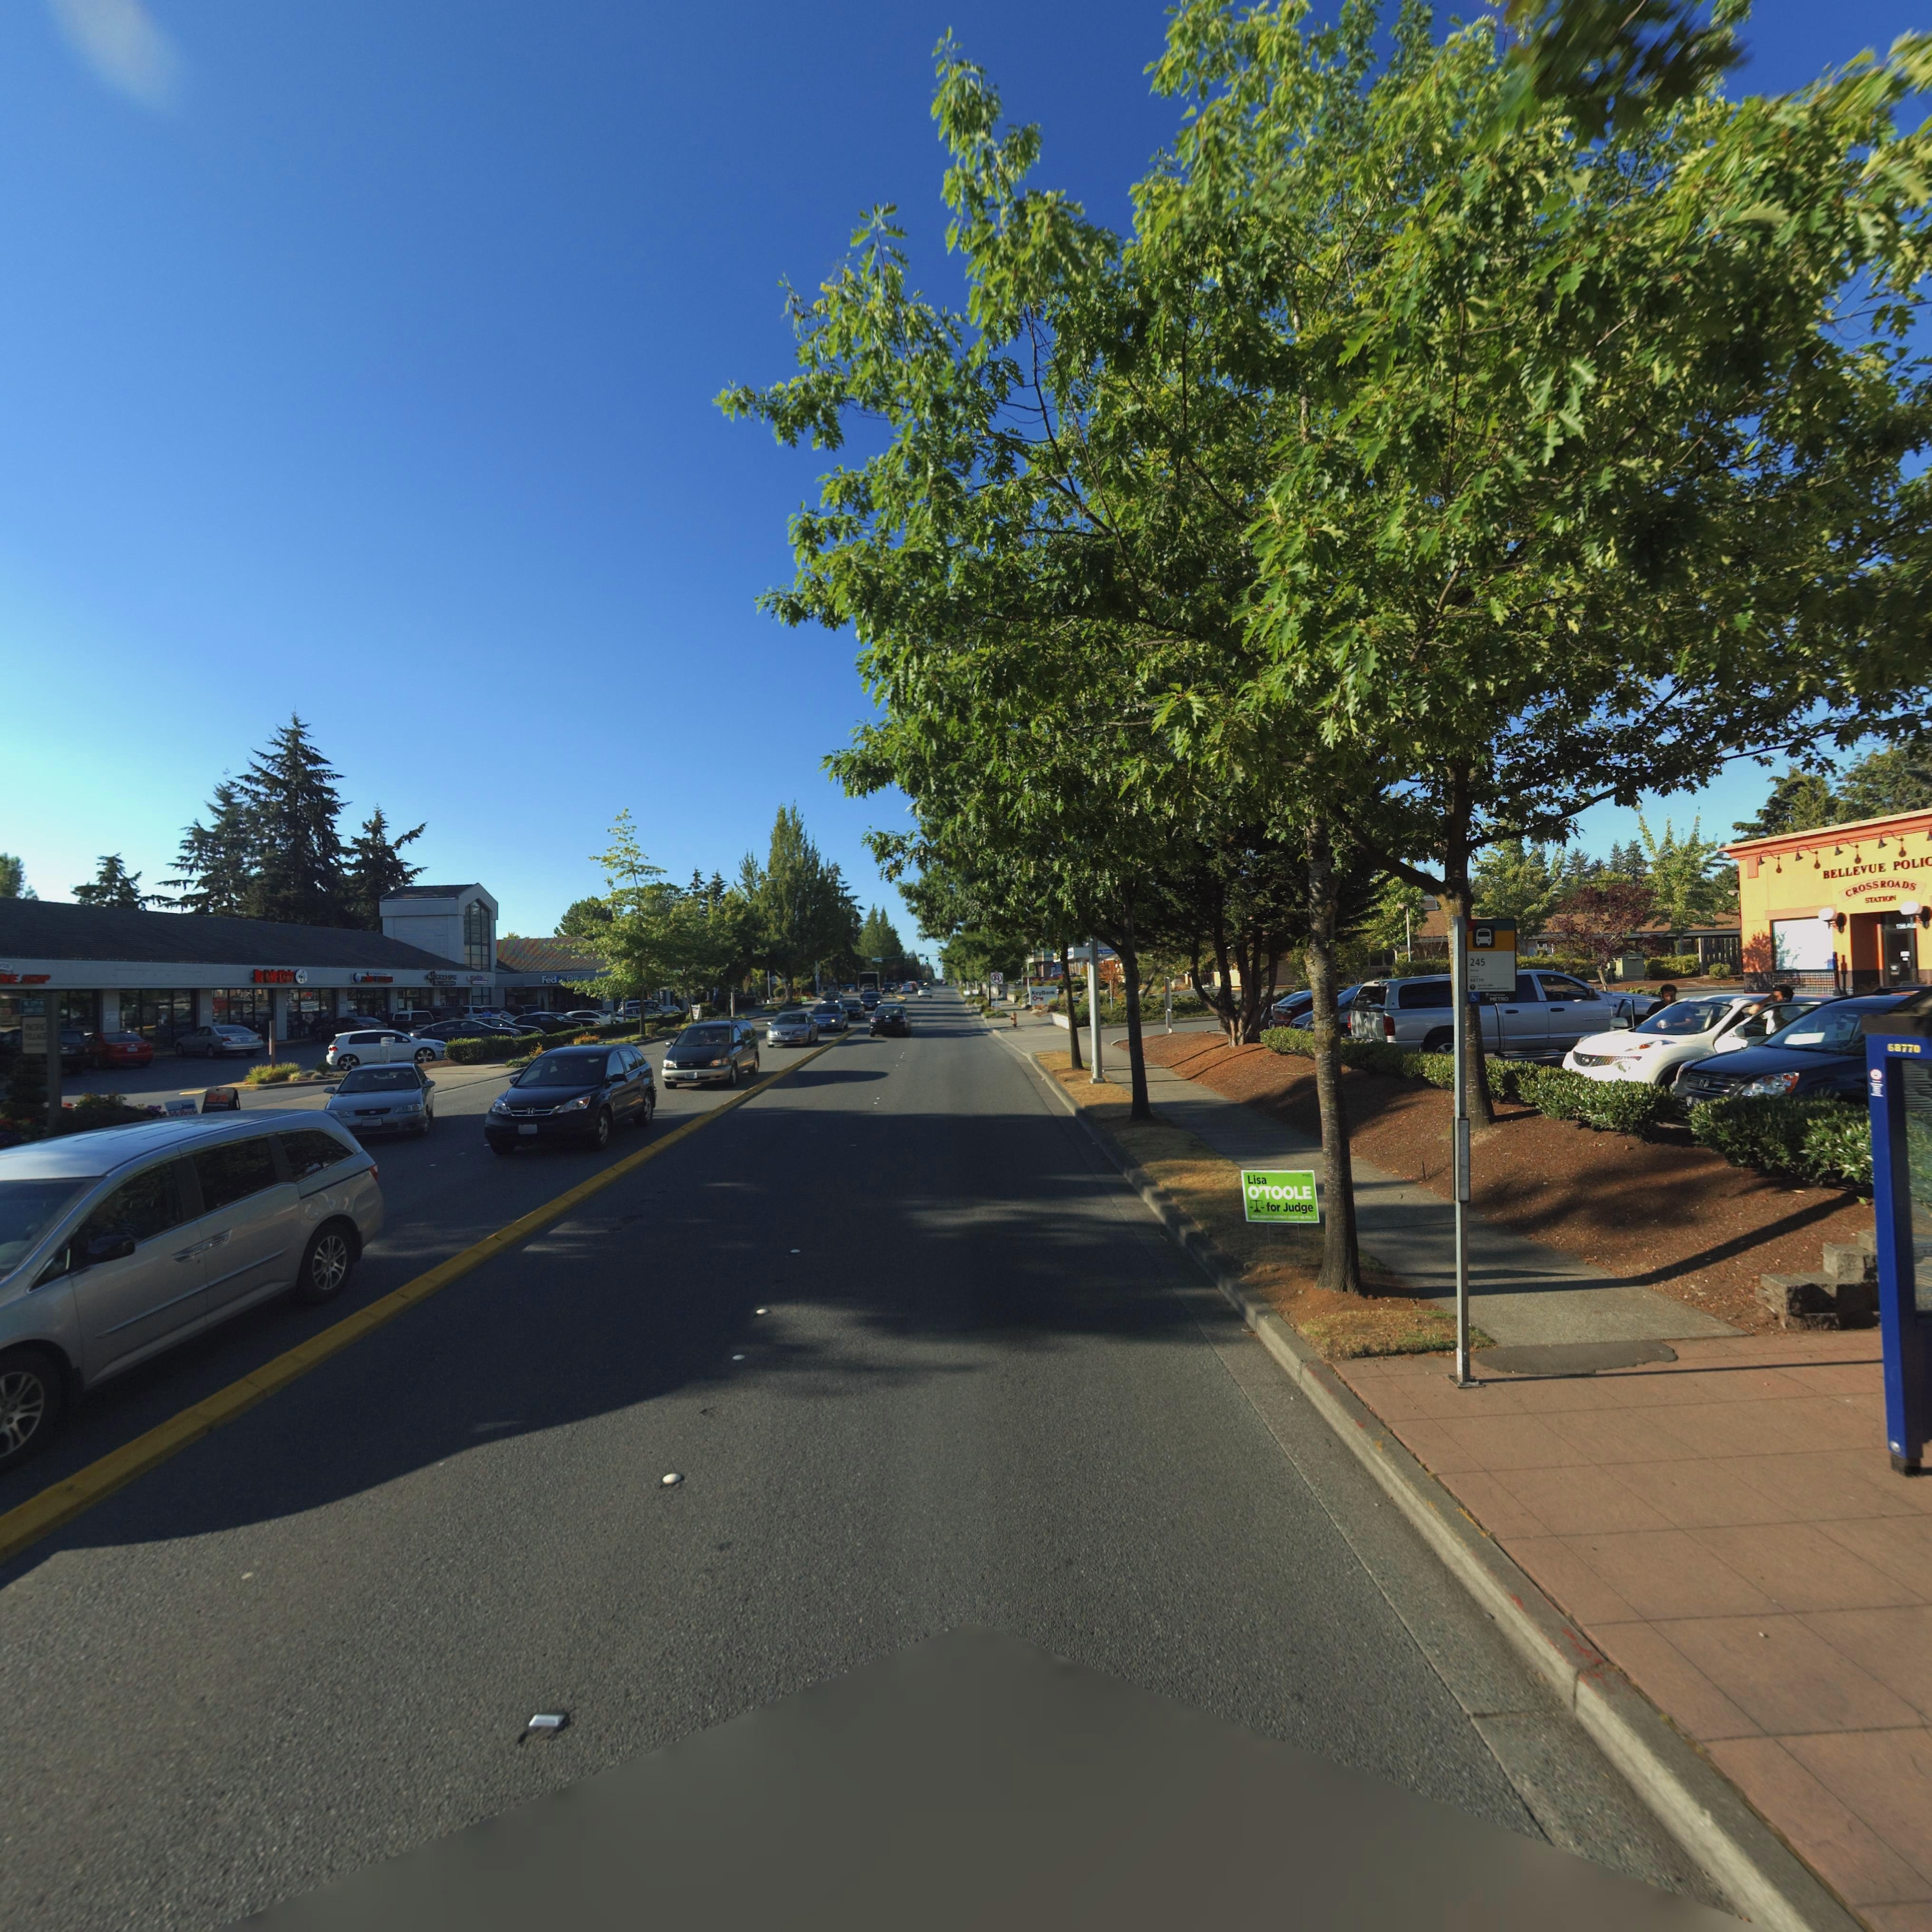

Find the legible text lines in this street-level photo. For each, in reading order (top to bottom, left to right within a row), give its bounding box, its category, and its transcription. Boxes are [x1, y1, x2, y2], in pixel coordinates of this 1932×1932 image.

[1823, 856, 1932, 879] BusinessName: BELLEVUE POLIC
[541, 975, 589, 984] BusinessName: Fed** O*fice
[1031, 990, 1056, 996] BusinessName: KeyBank